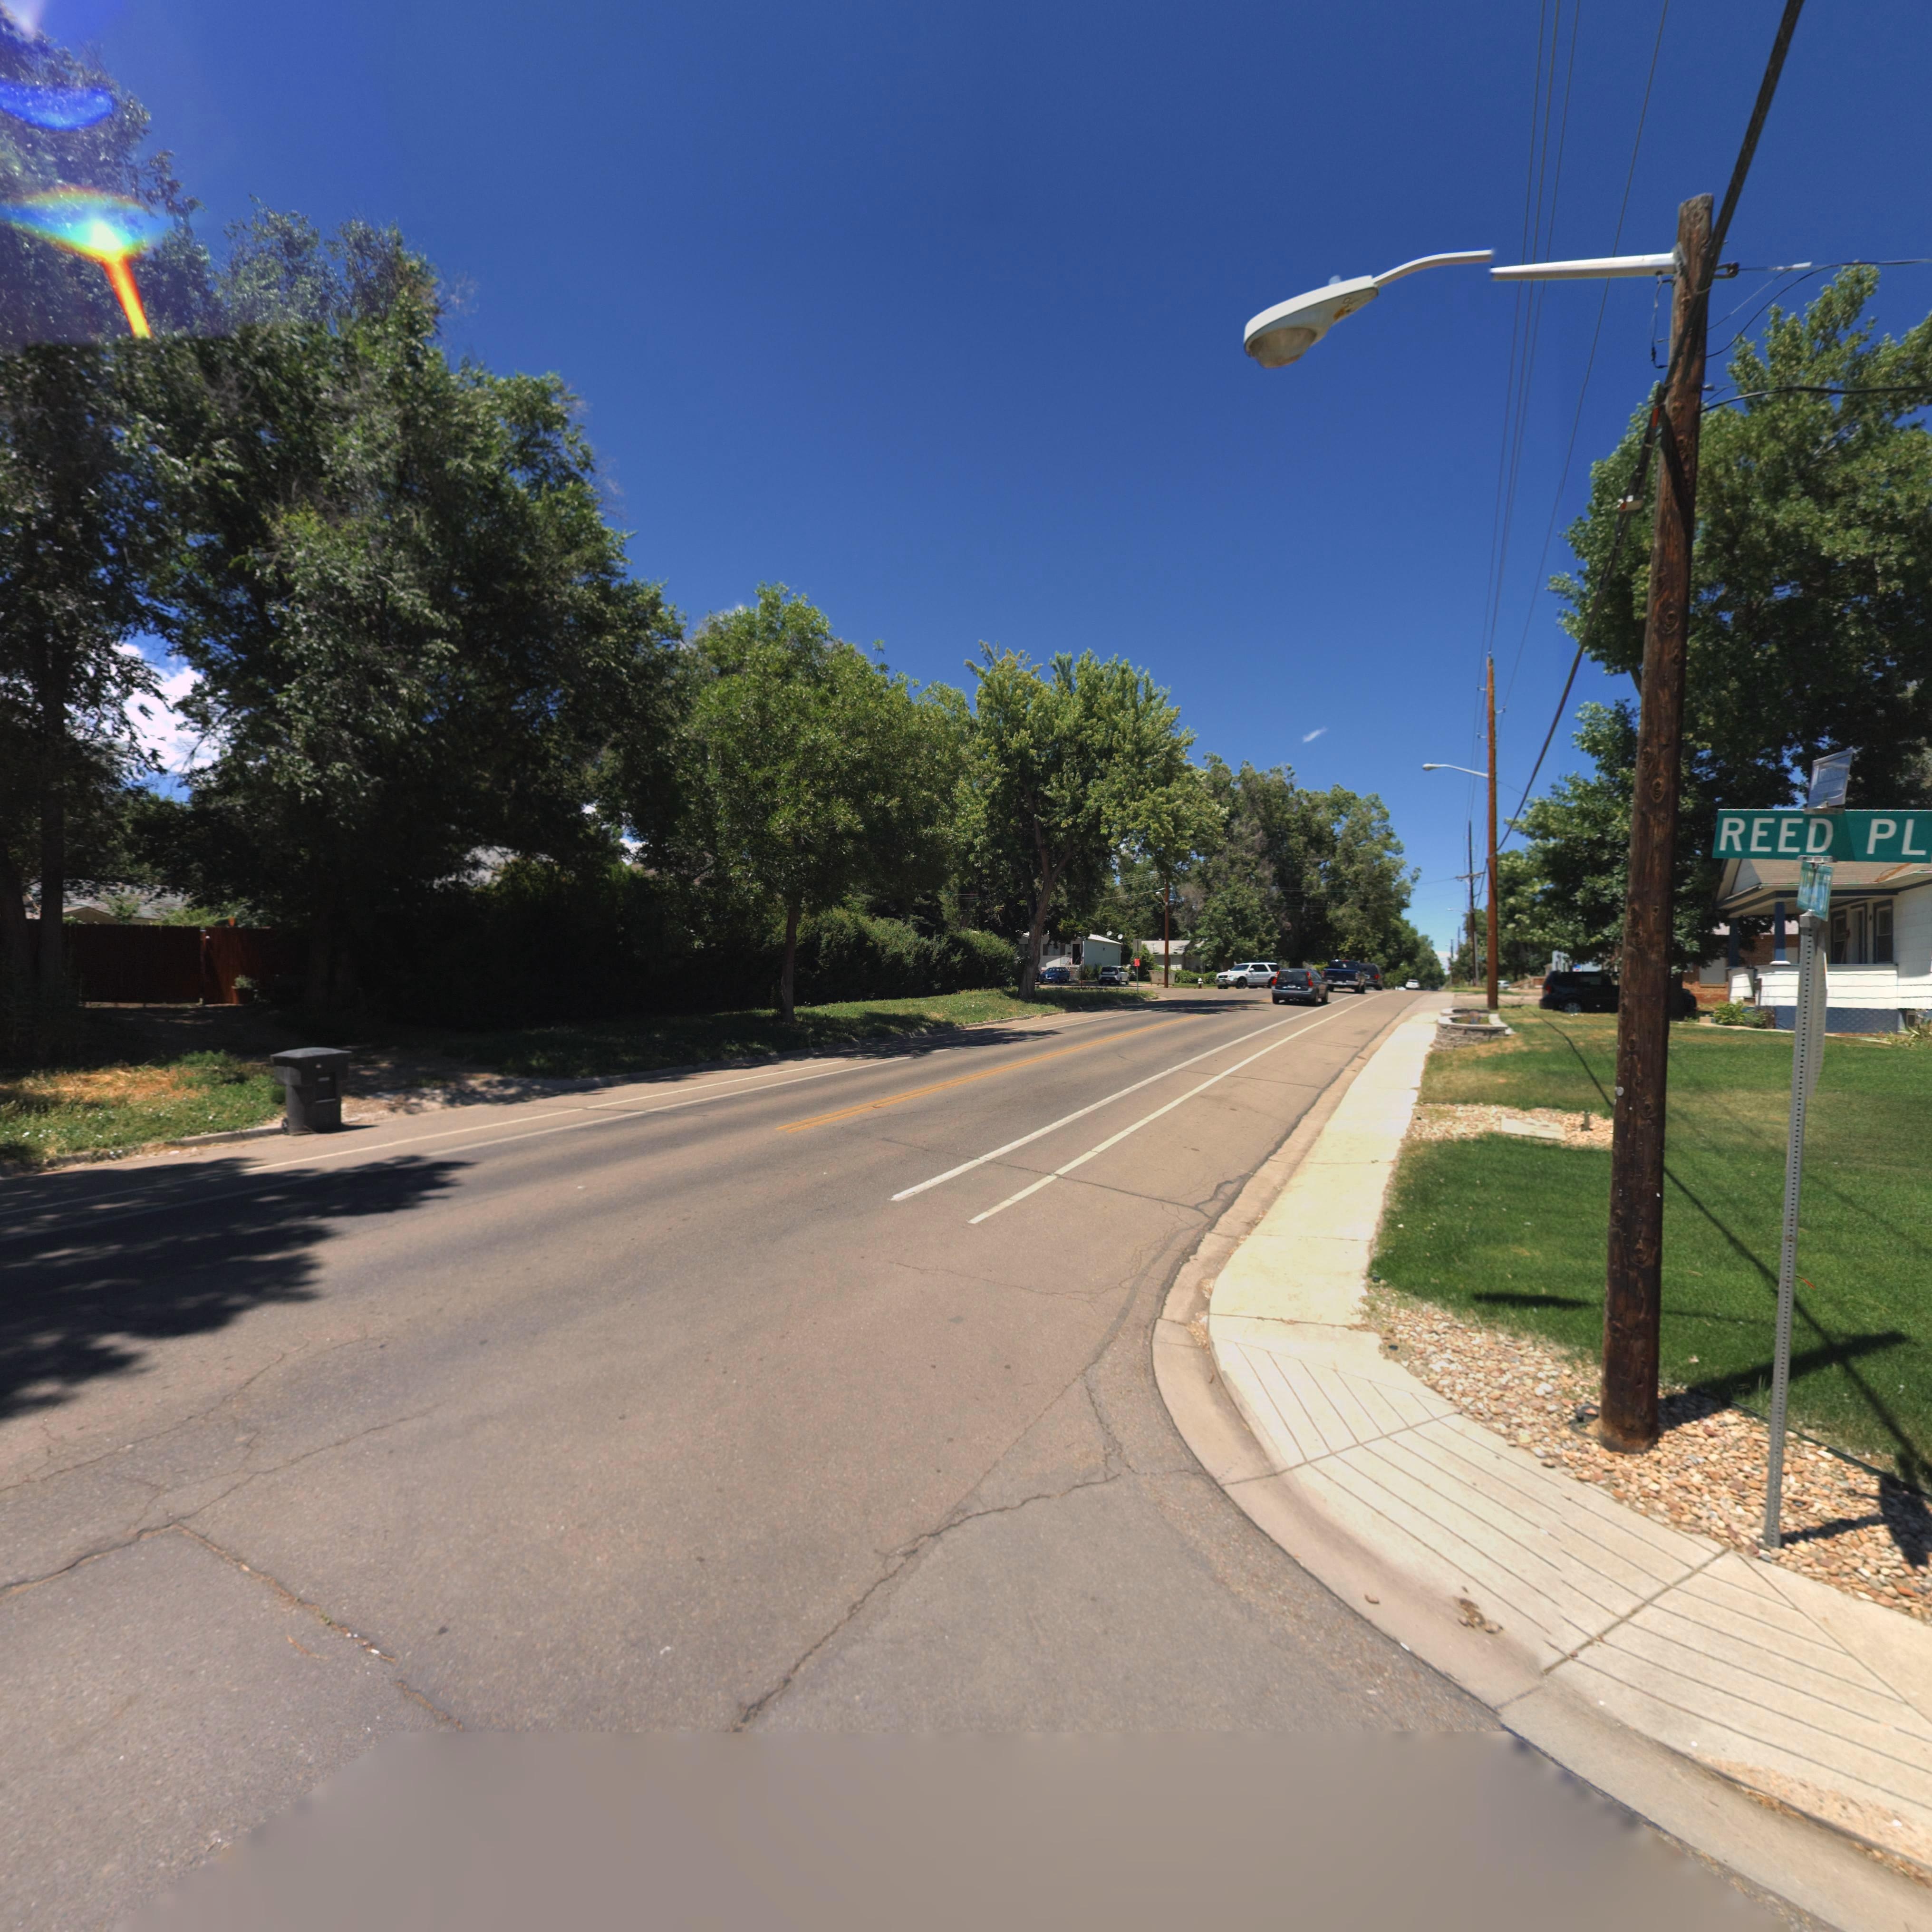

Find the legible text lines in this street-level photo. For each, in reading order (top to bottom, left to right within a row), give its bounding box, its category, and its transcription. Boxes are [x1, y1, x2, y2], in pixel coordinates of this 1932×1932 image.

[1717, 816, 1927, 857] StreetName: REED PL
[1796, 868, 1832, 913] StreetName: *****N ST